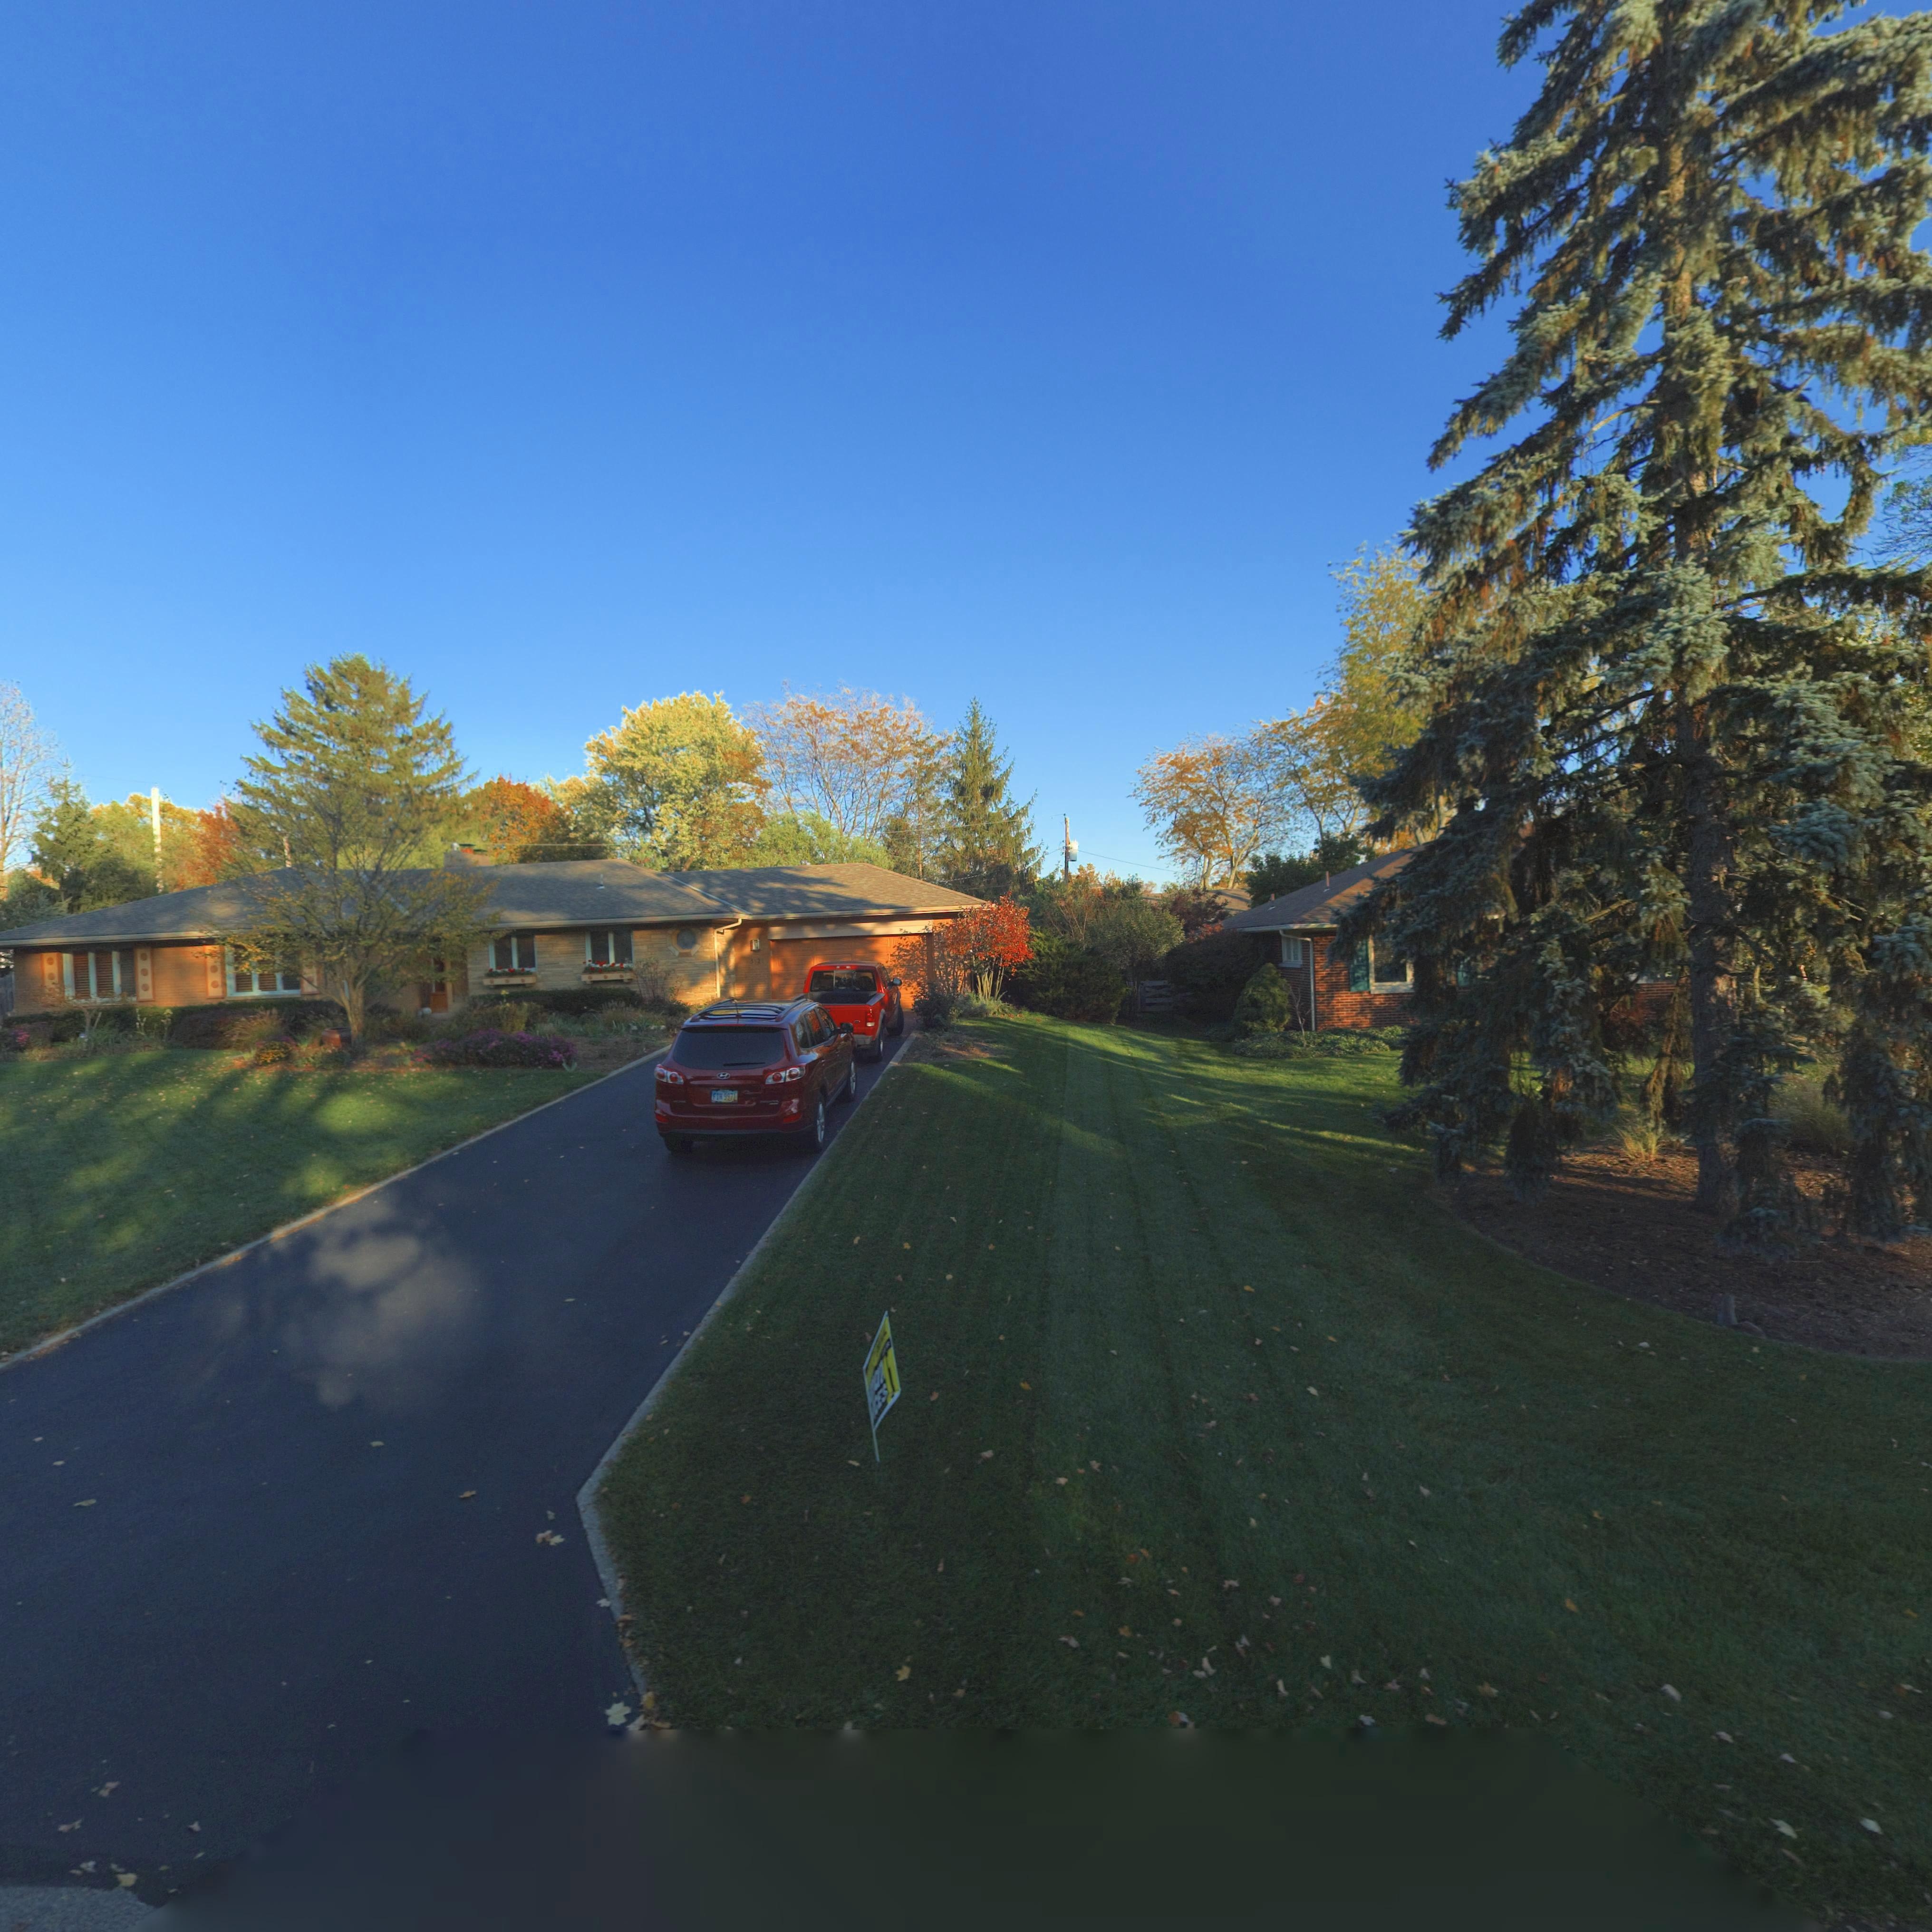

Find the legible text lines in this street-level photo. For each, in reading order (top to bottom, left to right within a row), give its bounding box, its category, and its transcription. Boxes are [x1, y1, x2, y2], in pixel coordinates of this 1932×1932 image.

[750, 957, 764, 963] StreetNumber: 3*21